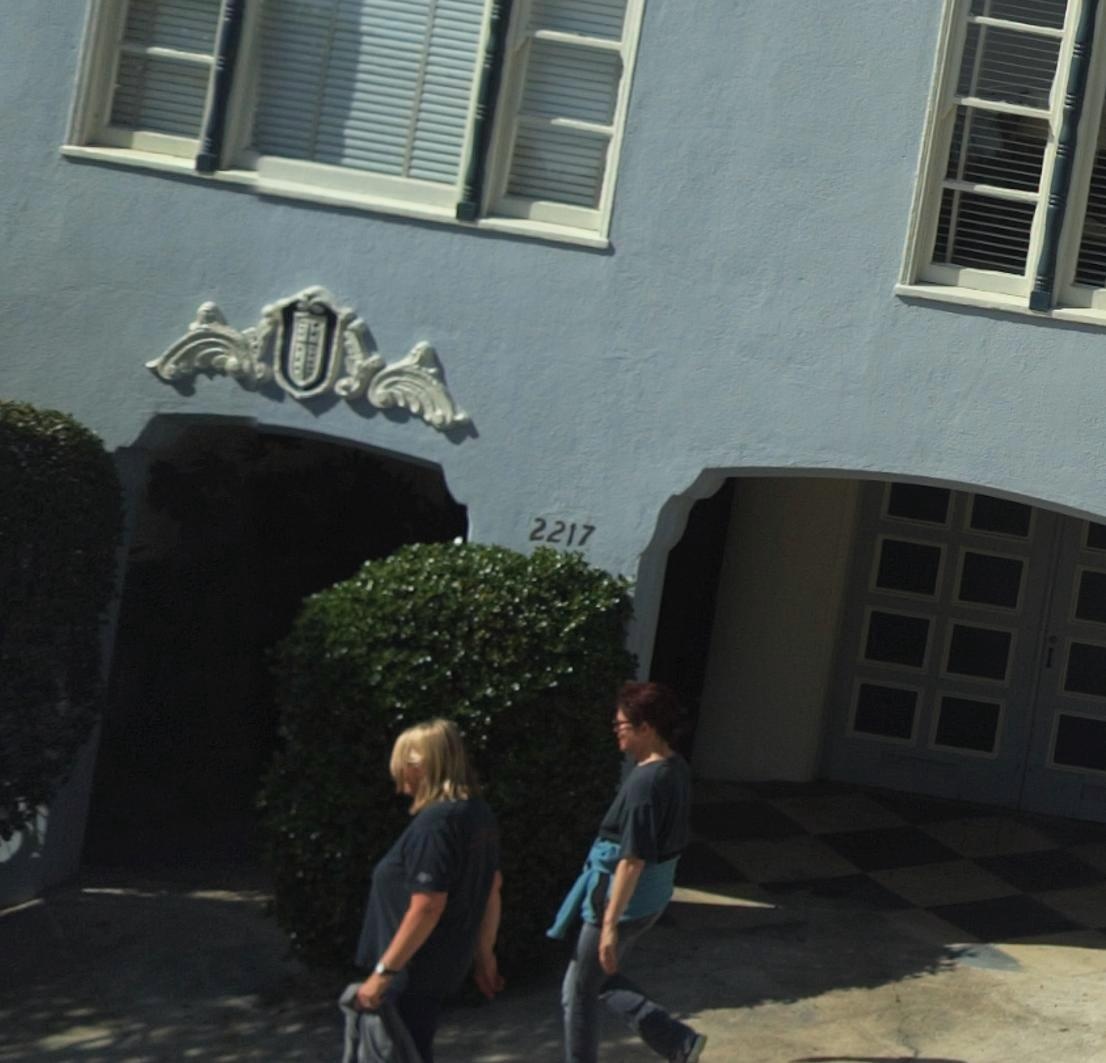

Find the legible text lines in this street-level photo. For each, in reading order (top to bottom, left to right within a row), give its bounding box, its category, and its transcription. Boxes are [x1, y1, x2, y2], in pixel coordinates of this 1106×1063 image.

[524, 514, 599, 550] StreetNumber: 2217